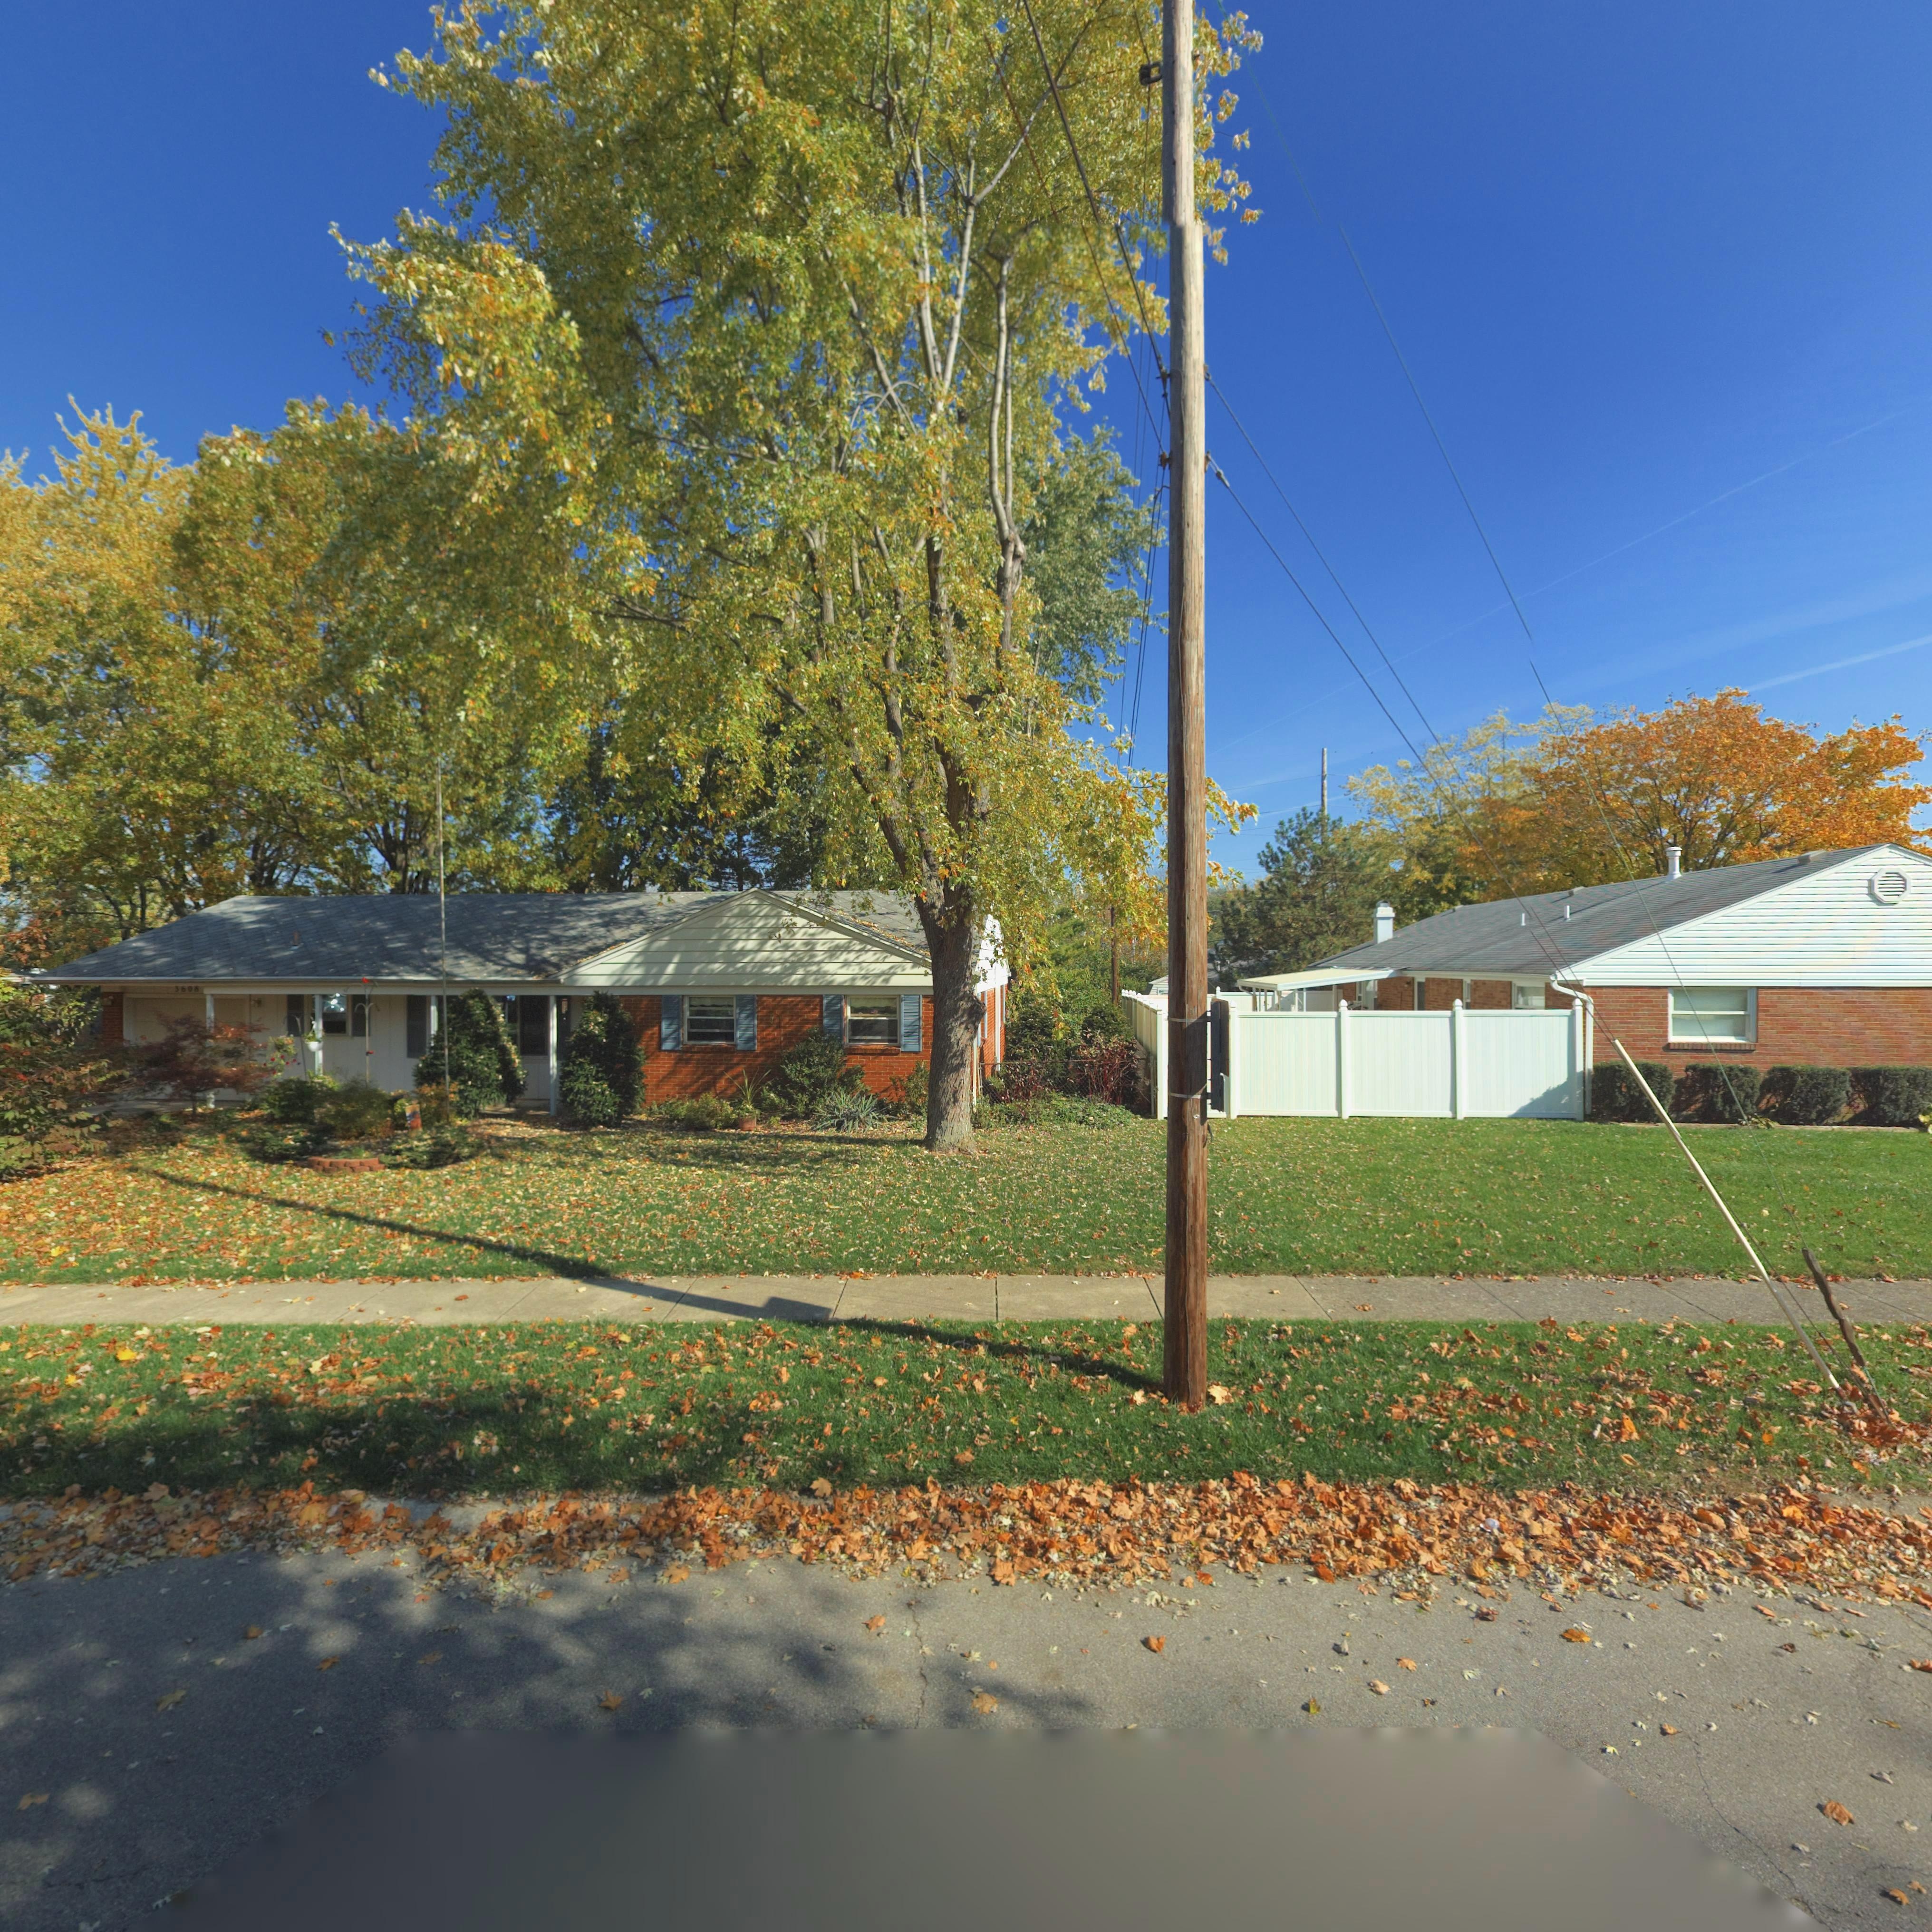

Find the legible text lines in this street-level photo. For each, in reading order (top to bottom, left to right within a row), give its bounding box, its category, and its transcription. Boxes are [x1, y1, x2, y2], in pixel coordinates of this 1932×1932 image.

[174, 985, 201, 994] StreetNumber: 3608